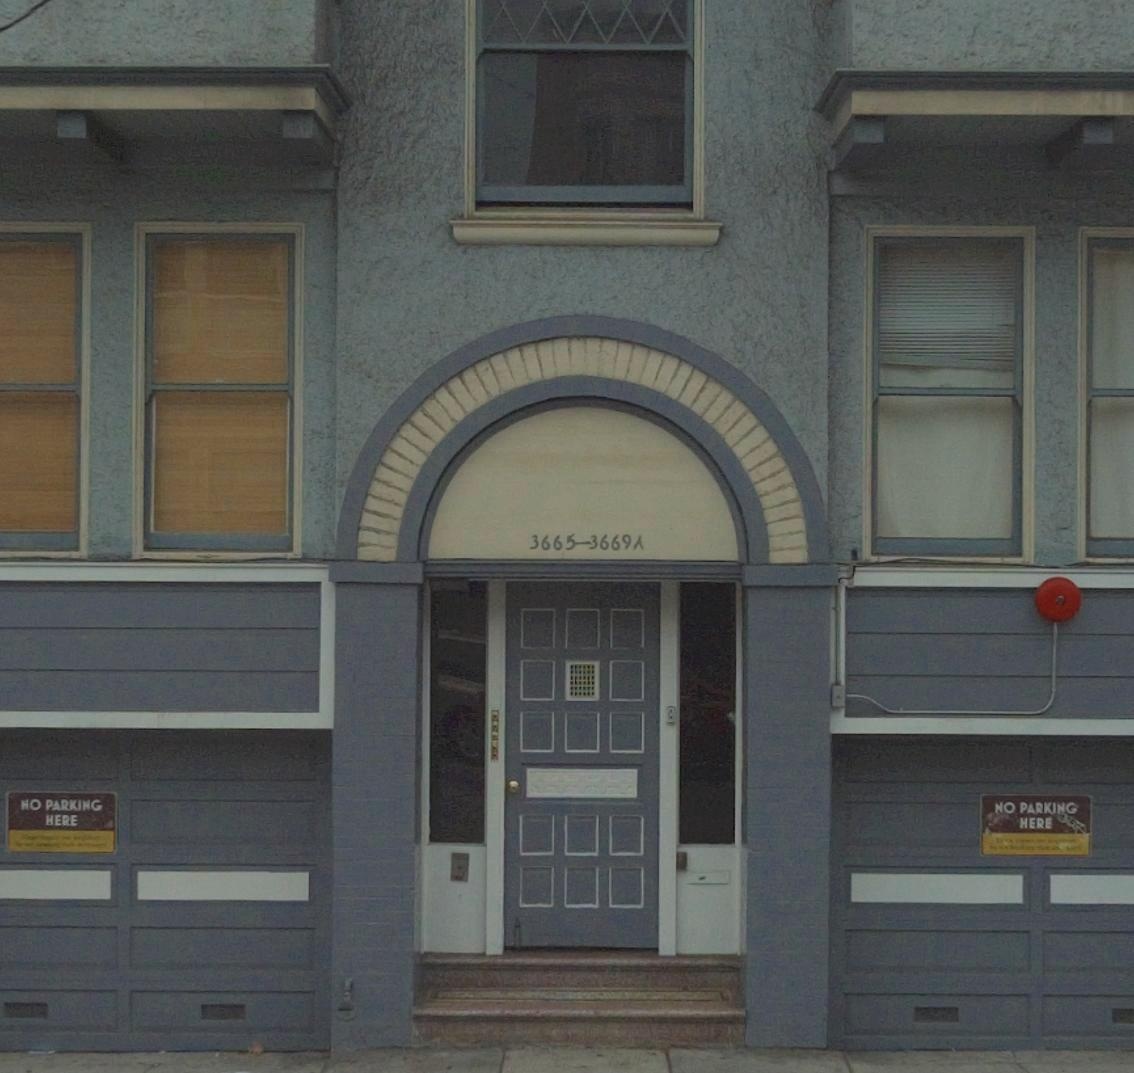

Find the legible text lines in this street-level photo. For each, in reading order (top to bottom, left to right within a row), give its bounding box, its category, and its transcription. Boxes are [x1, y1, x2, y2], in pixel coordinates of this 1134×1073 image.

[528, 532, 577, 551] StreetNumber: 3665
[589, 534, 644, 550] StreetNumber: 3665-3669A
[19, 798, 103, 811] None: NO PARKING
[993, 800, 1077, 815] None: NO PARKING
[45, 814, 78, 827] None: HERE
[1019, 817, 1053, 829] None: HERE